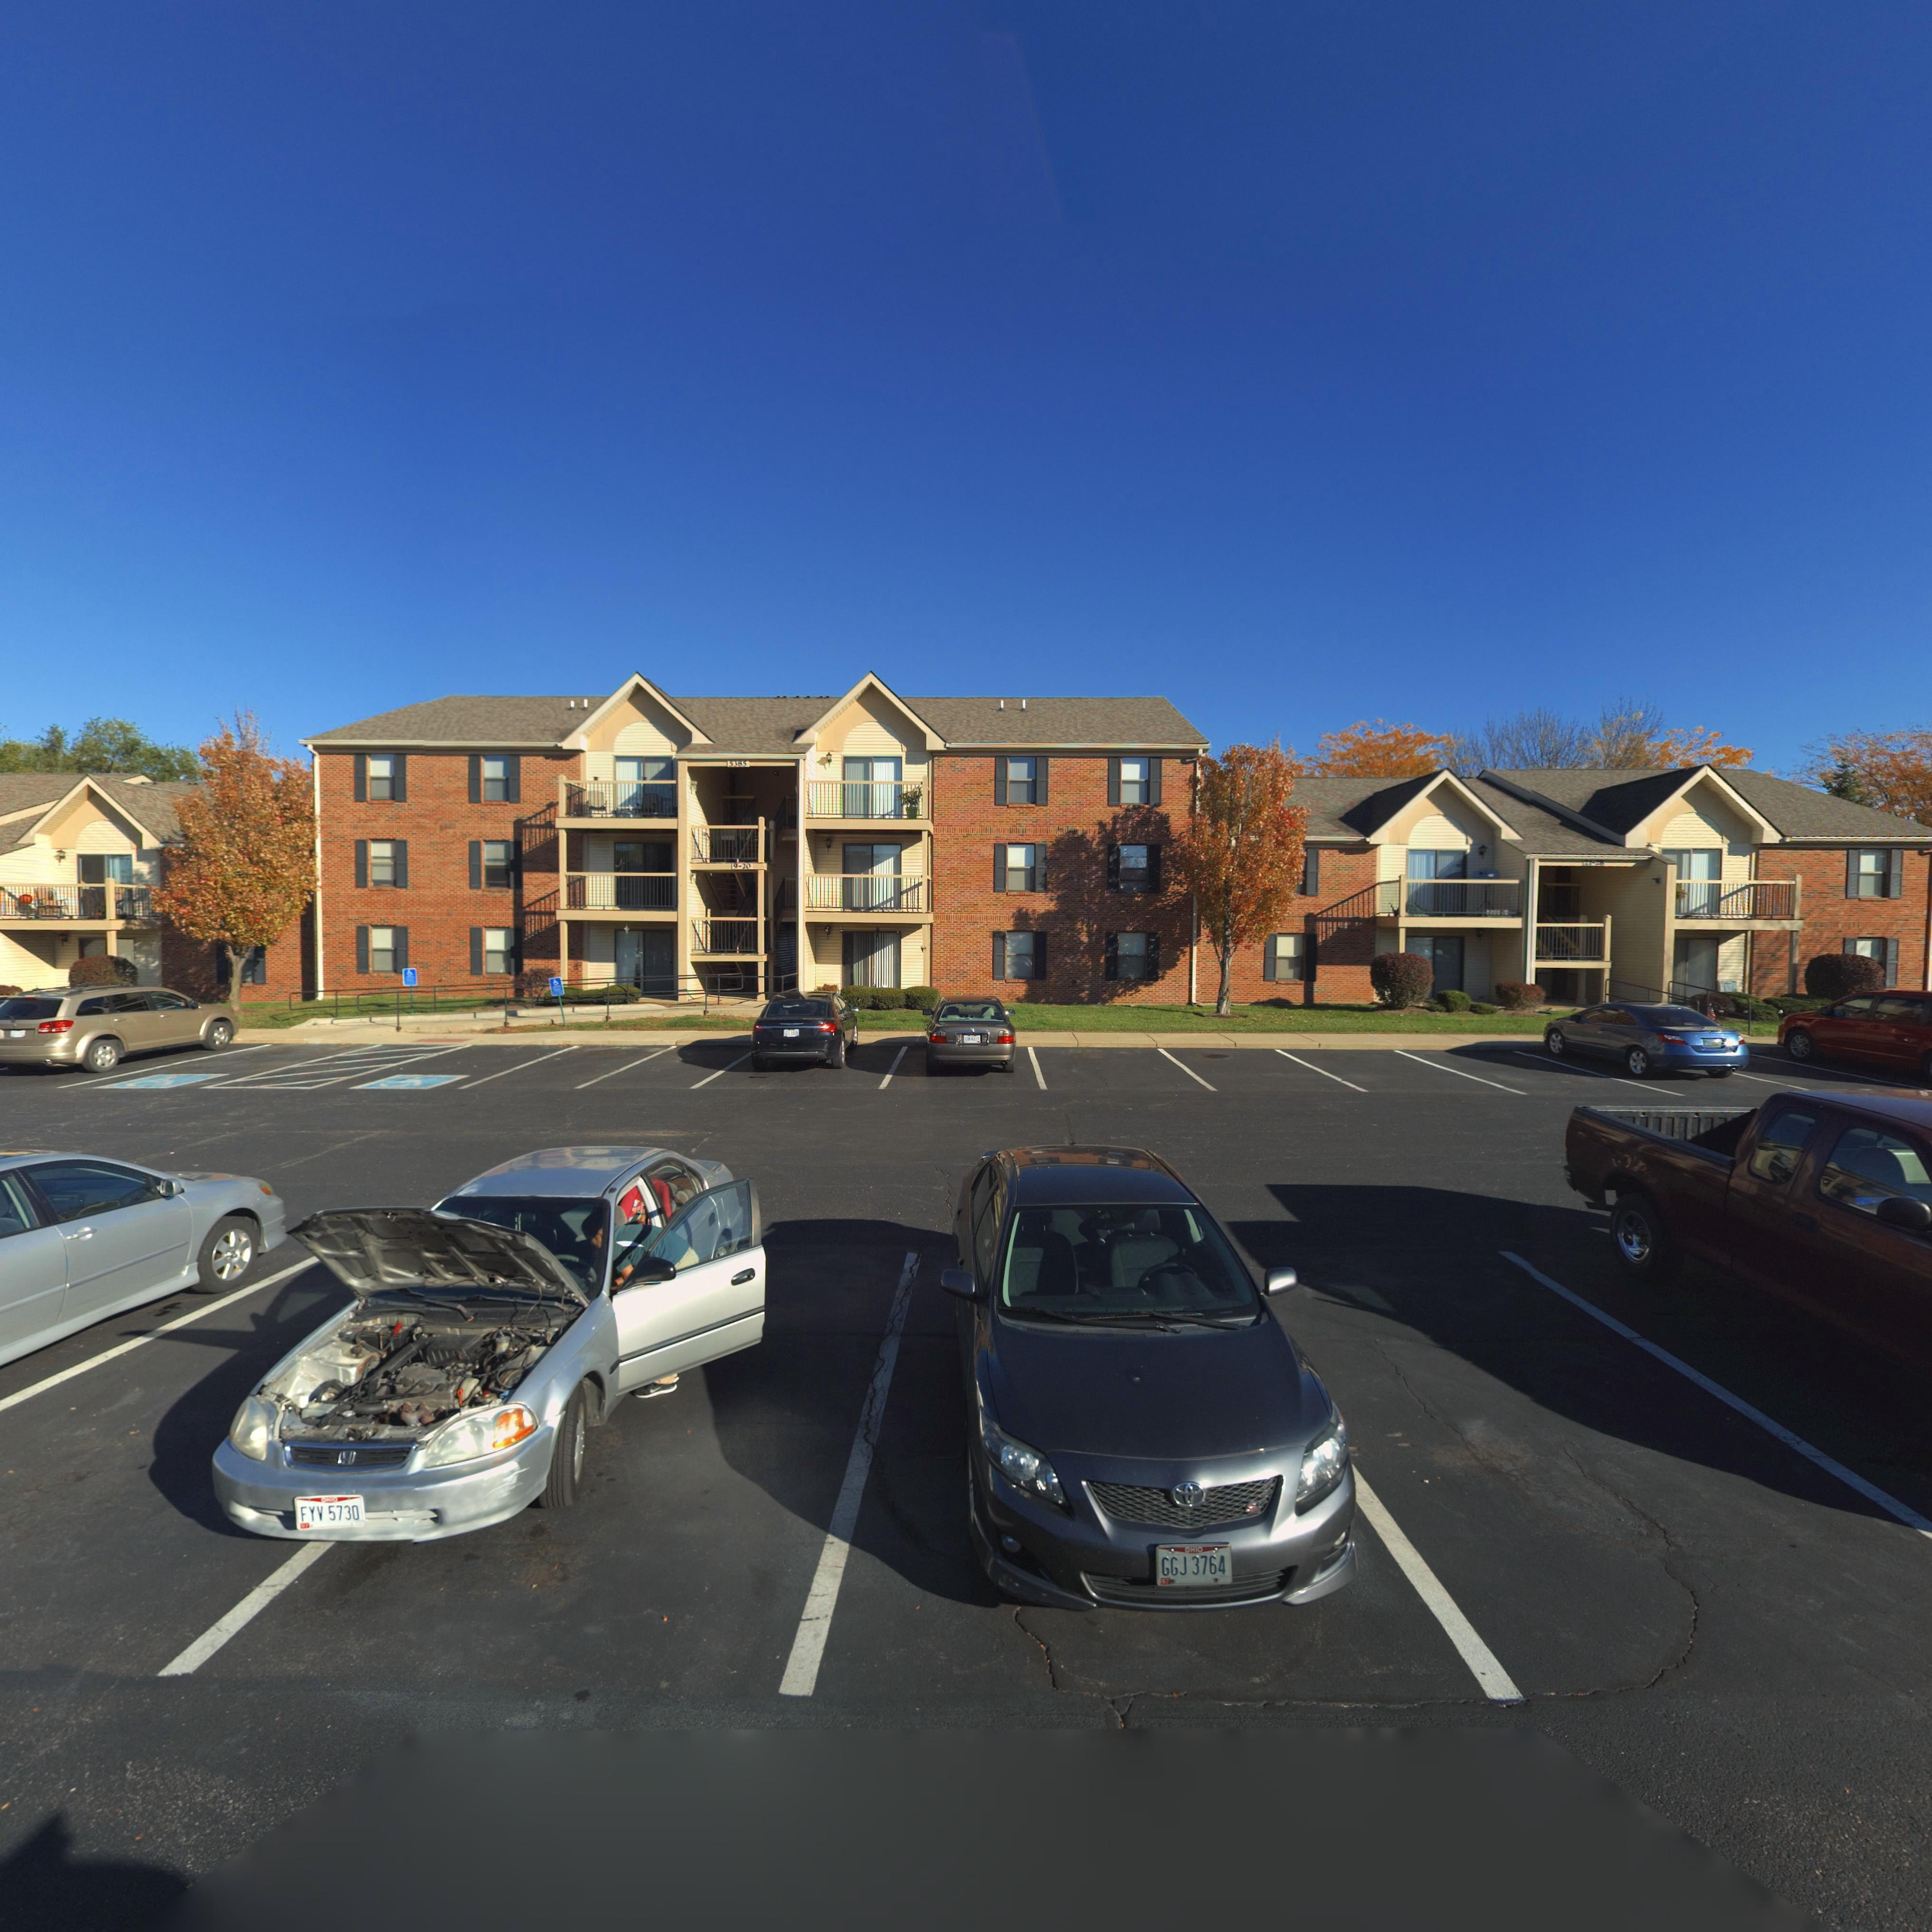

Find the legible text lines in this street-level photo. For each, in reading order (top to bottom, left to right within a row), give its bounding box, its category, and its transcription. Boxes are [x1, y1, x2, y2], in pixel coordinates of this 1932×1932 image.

[728, 760, 747, 767] StreetNumber: 5385
[1584, 859, 1604, 866] StreetNumber: 21-28
[732, 862, 751, 870] StreetNumber: 9-20